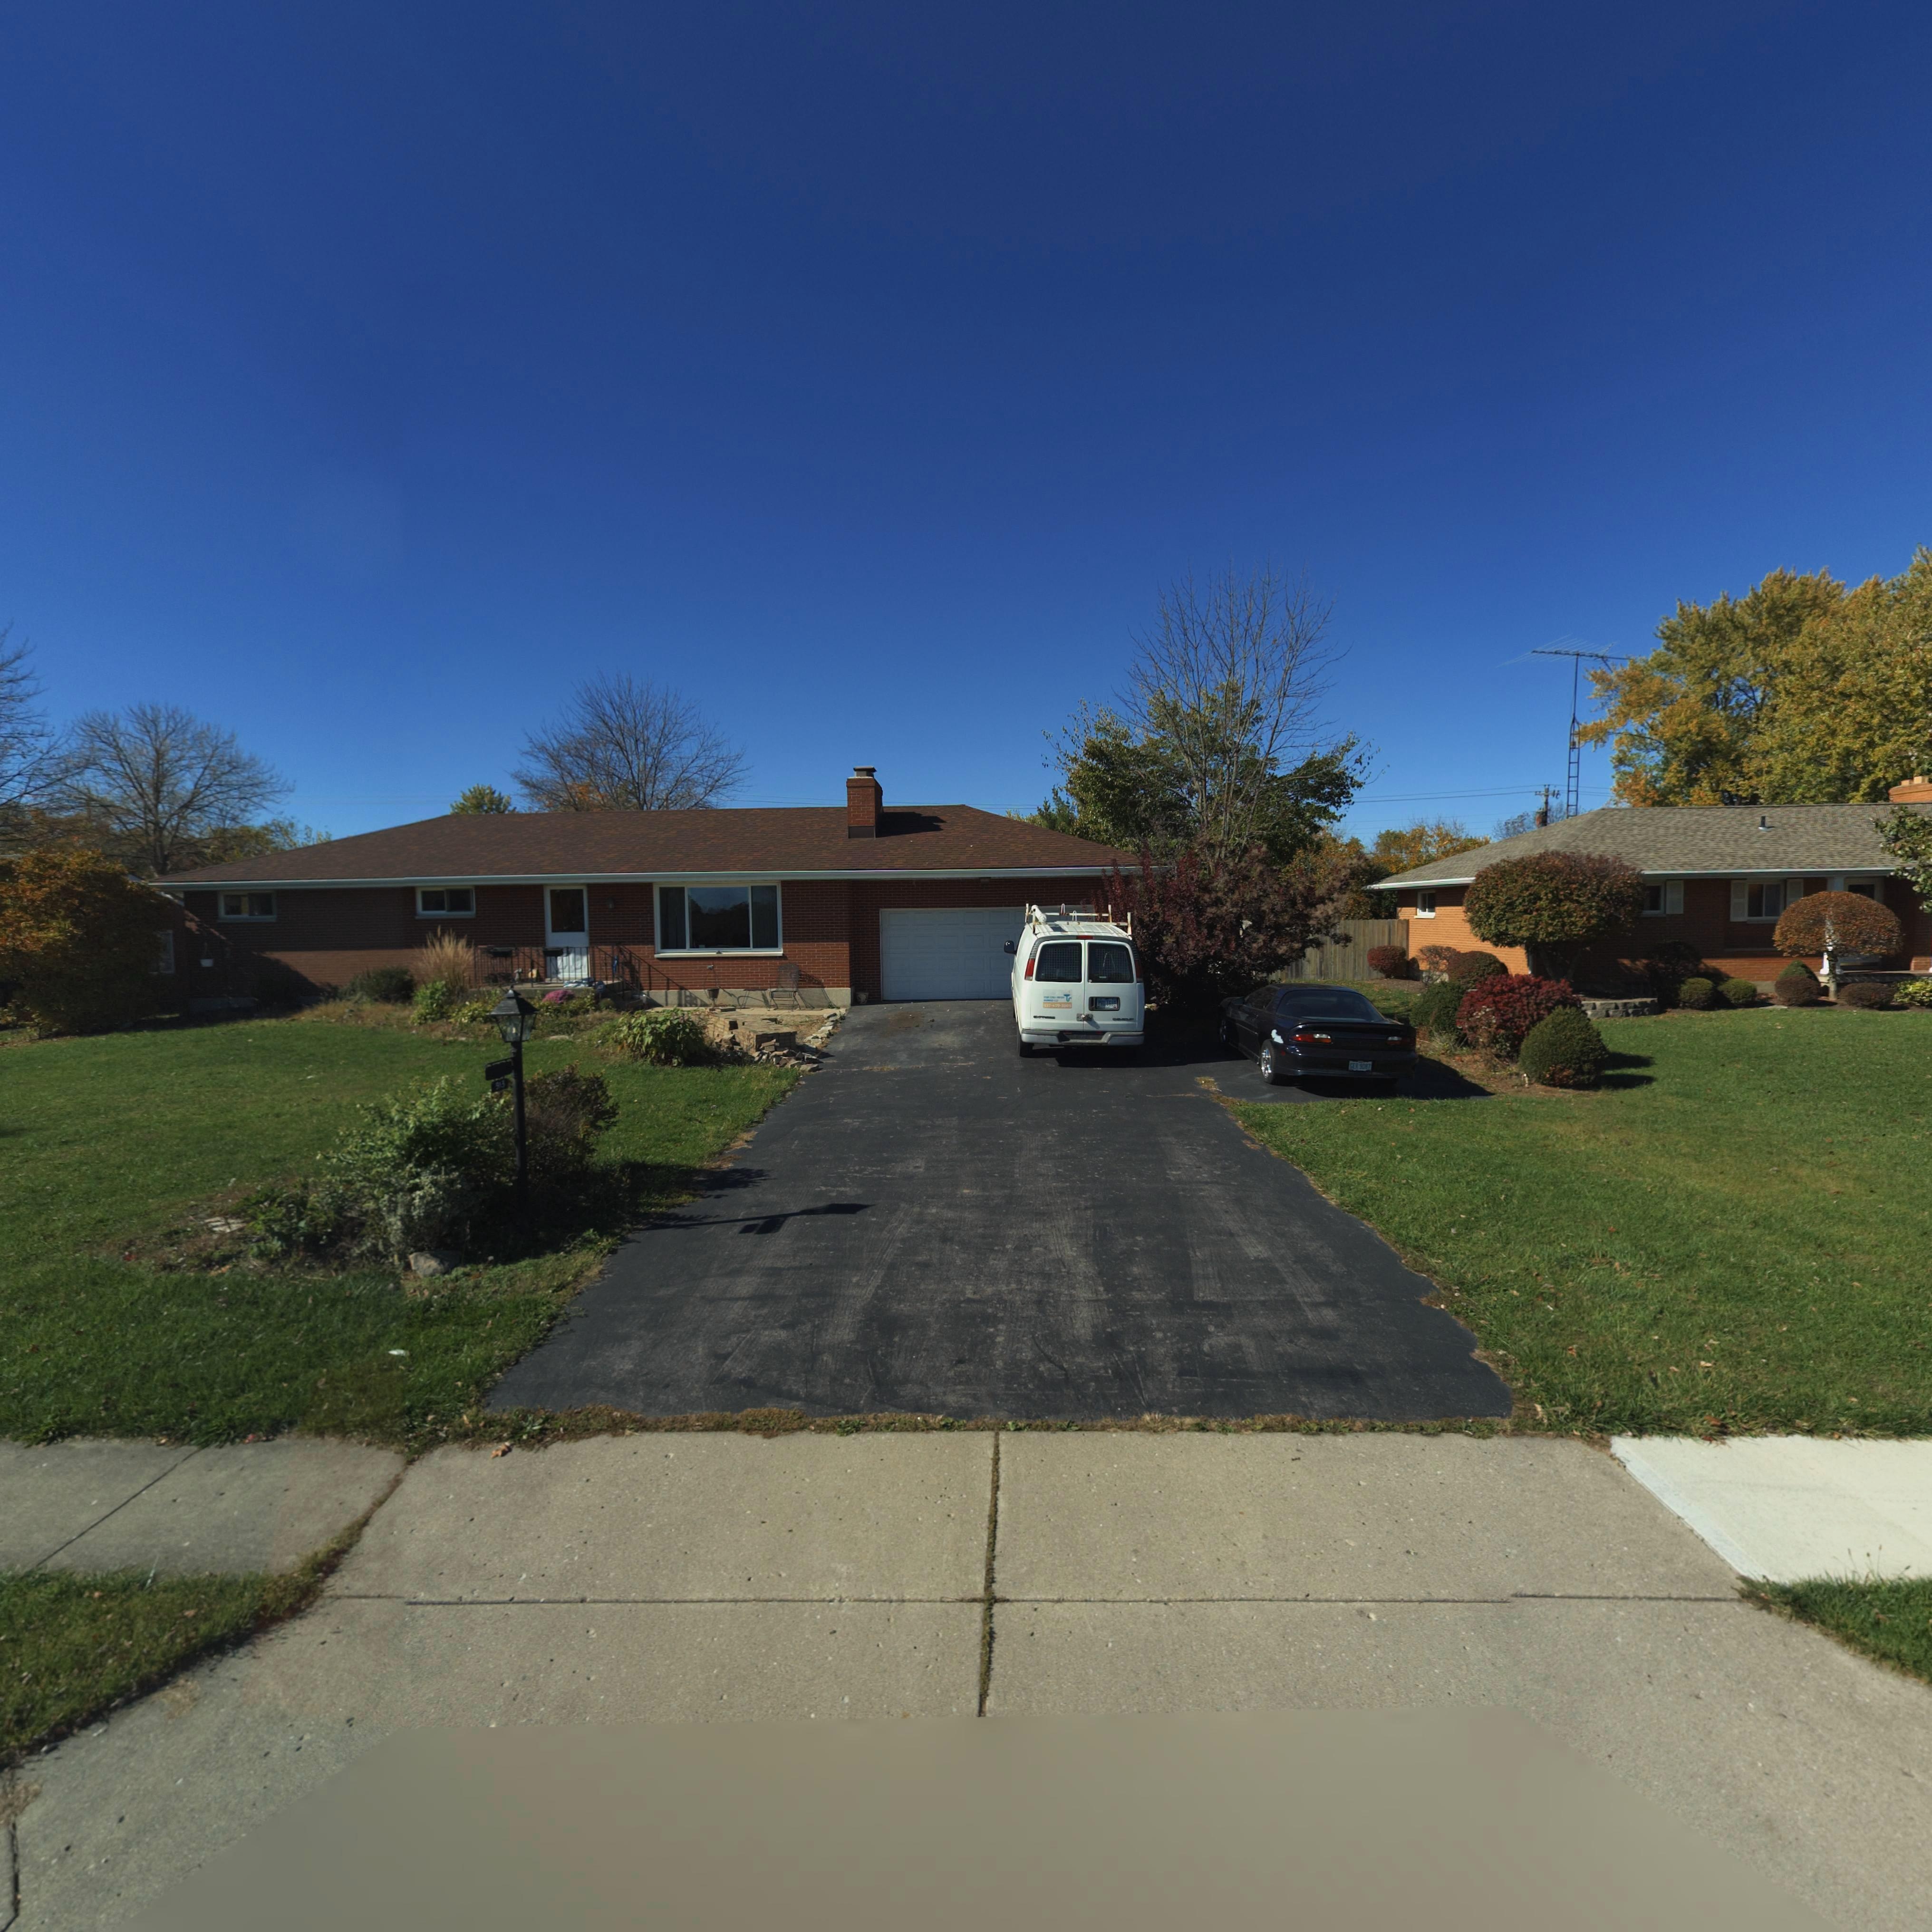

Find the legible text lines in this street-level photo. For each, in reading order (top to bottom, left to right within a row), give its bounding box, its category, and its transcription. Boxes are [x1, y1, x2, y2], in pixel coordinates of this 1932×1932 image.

[494, 1079, 506, 1091] StreetNumber: *13